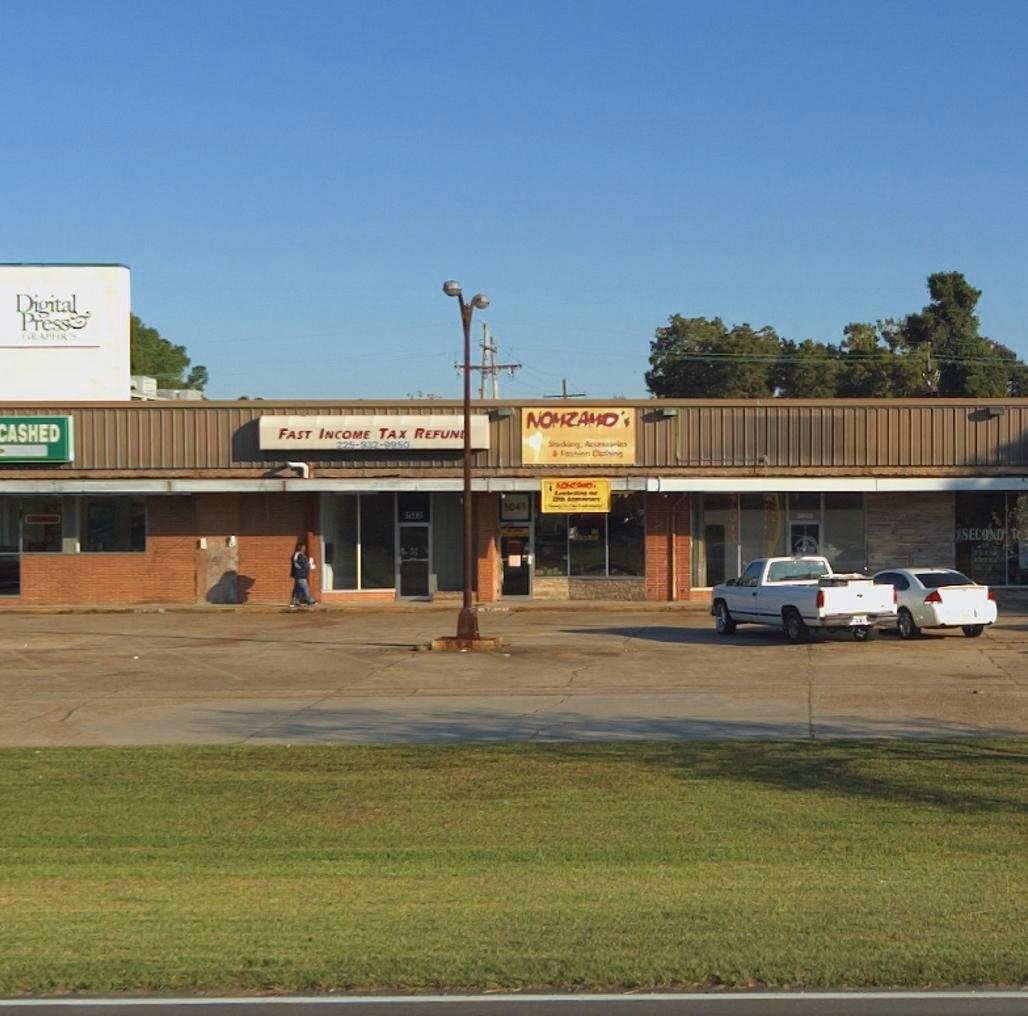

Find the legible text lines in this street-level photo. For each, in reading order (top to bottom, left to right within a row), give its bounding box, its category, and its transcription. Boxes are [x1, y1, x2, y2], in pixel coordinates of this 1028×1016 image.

[13, 290, 77, 315] BusinessName: Digital
[19, 309, 74, 333] BusinessName: Press
[524, 408, 631, 430] BusinessName: NOMZANO's
[7, 420, 63, 446] BusinessName: ASHED
[277, 425, 460, 440] BusinessName: FAST INCOME TAX REFUN
[333, 440, 411, 450] None: 225-932-9950
[500, 500, 528, 516] StreetNumber: 5043
[959, 526, 1006, 543] None: SECOND